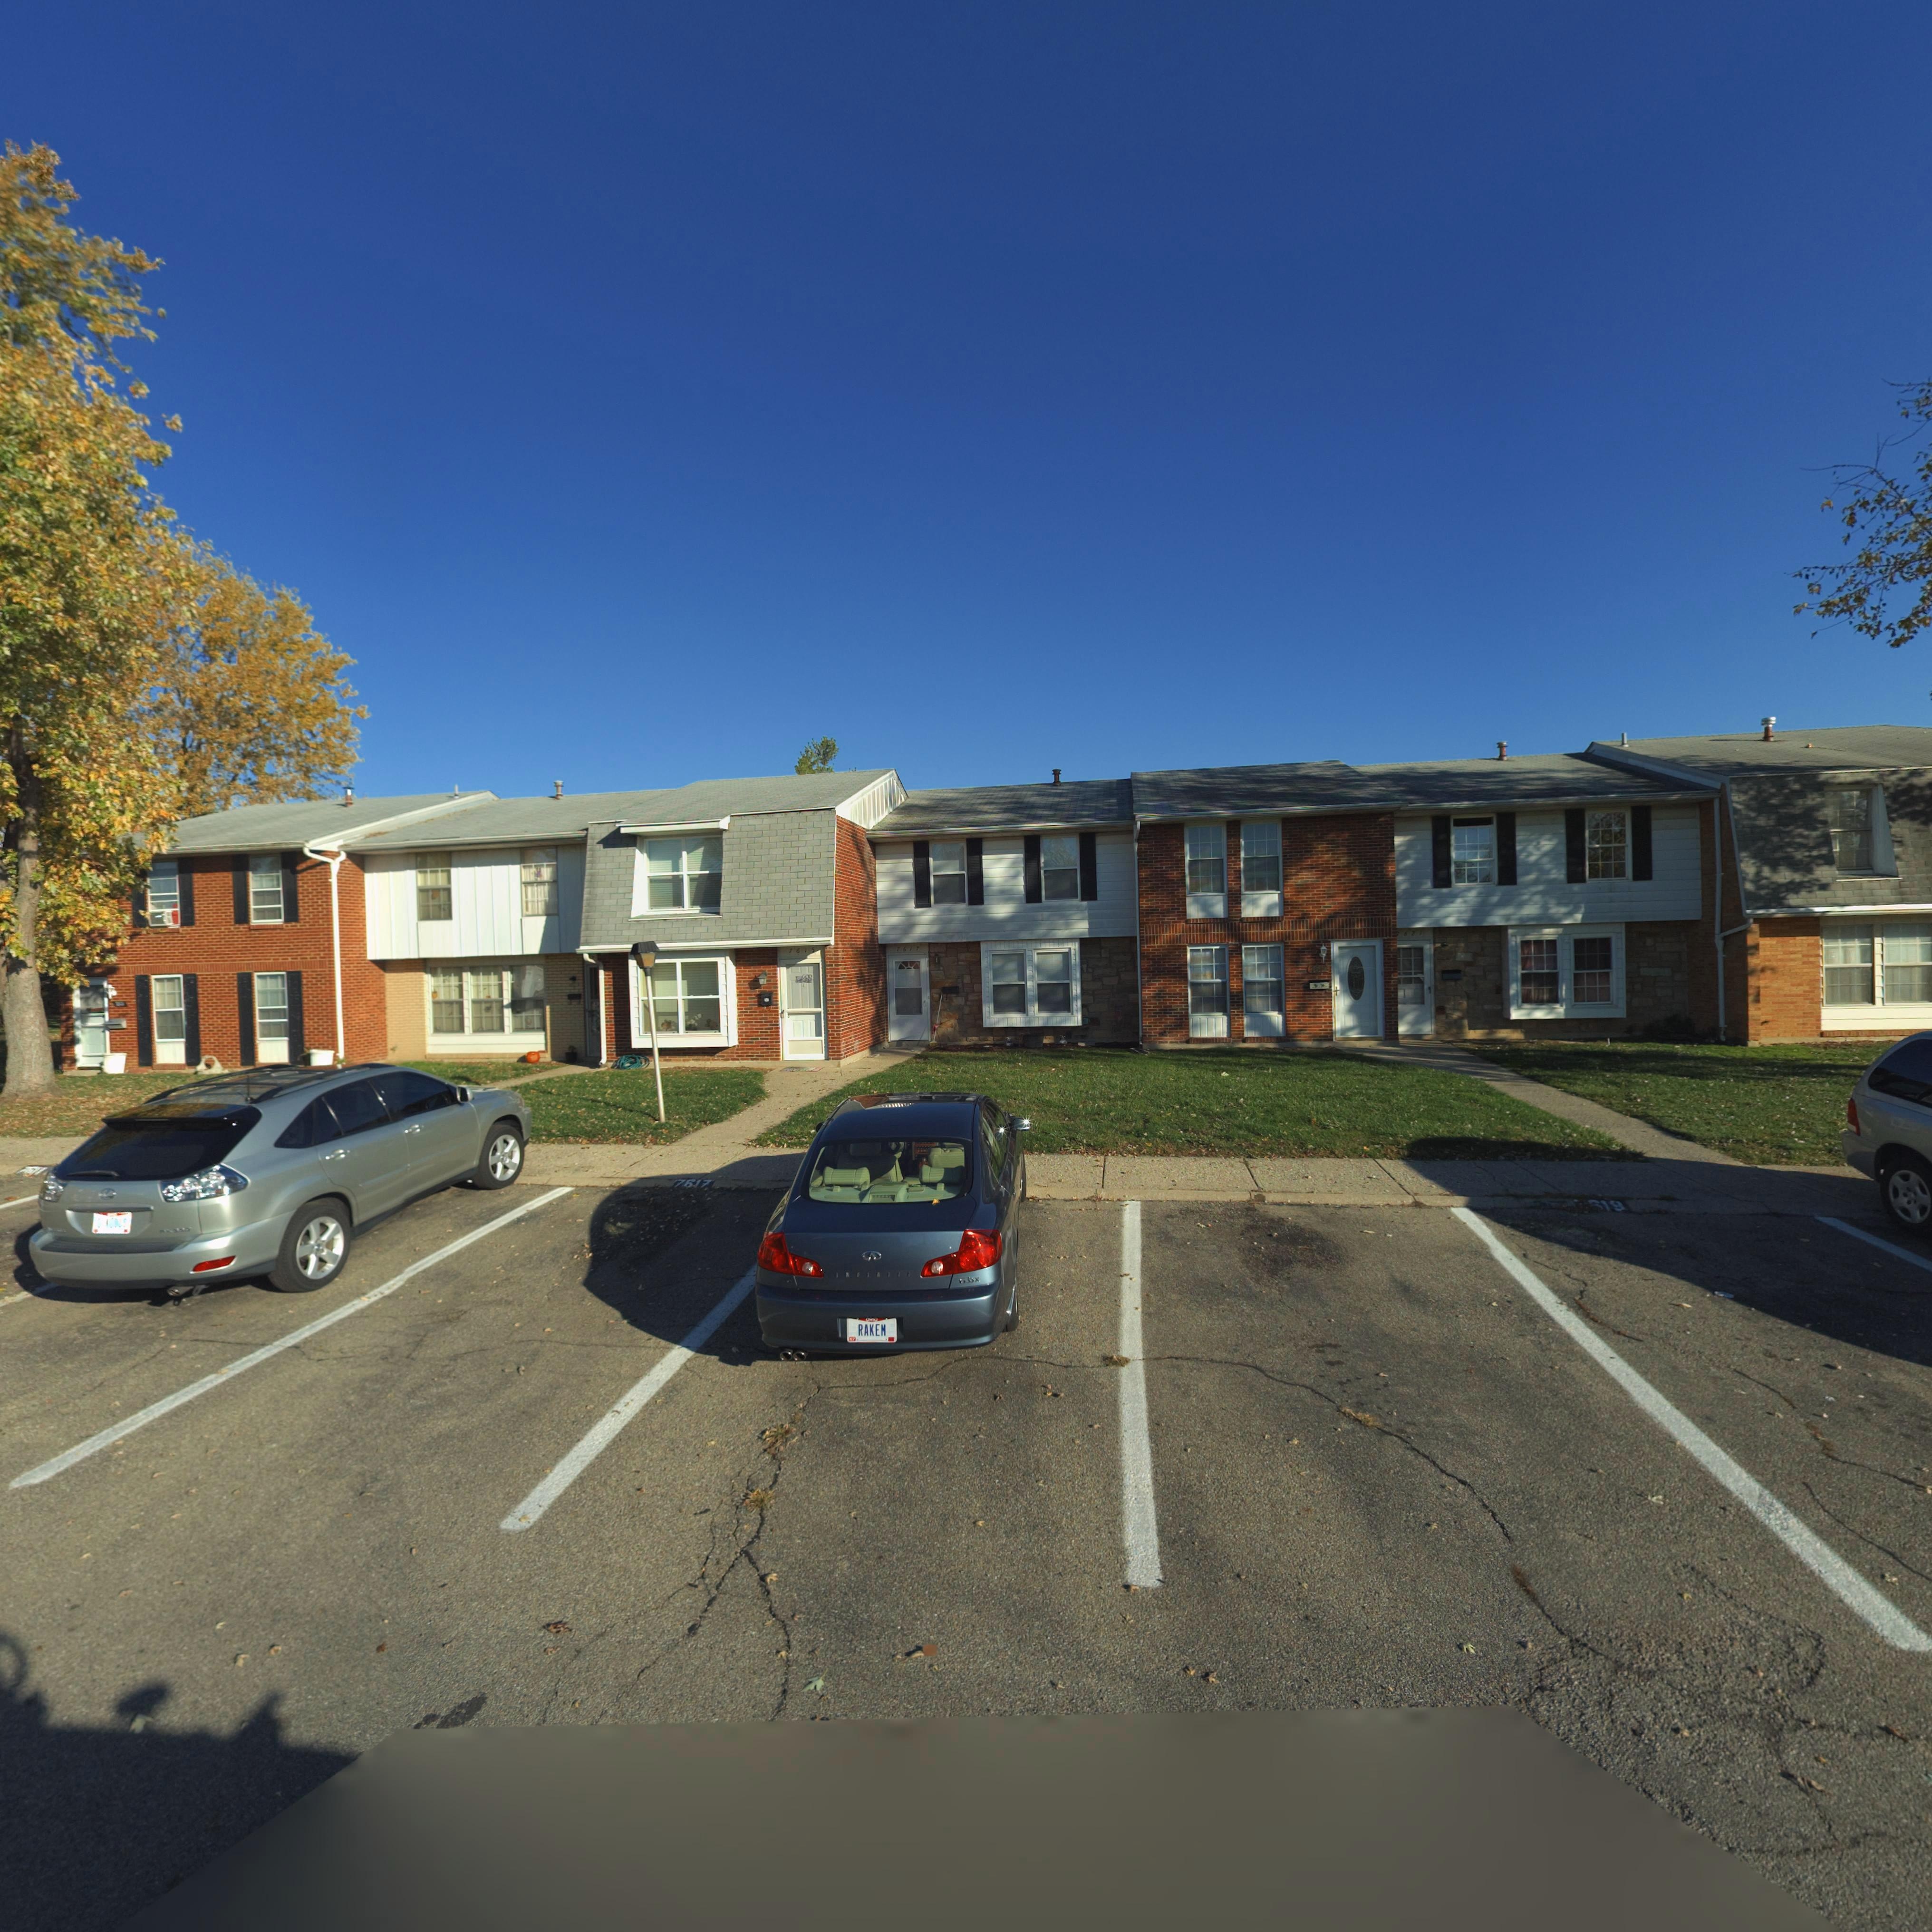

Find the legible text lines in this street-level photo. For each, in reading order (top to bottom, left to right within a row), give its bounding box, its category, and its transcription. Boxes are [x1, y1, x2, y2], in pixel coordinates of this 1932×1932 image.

[1396, 930, 1423, 937] StreetNumber: 7621
[788, 947, 815, 954] StreetNumber: 7615
[896, 946, 919, 952] StreetNumber: 7617
[1309, 965, 1328, 973] StreetNumber: 7619
[673, 1178, 714, 1189] StreetNumber: 7617
[1600, 1199, 1627, 1212] StreetNumber: 19